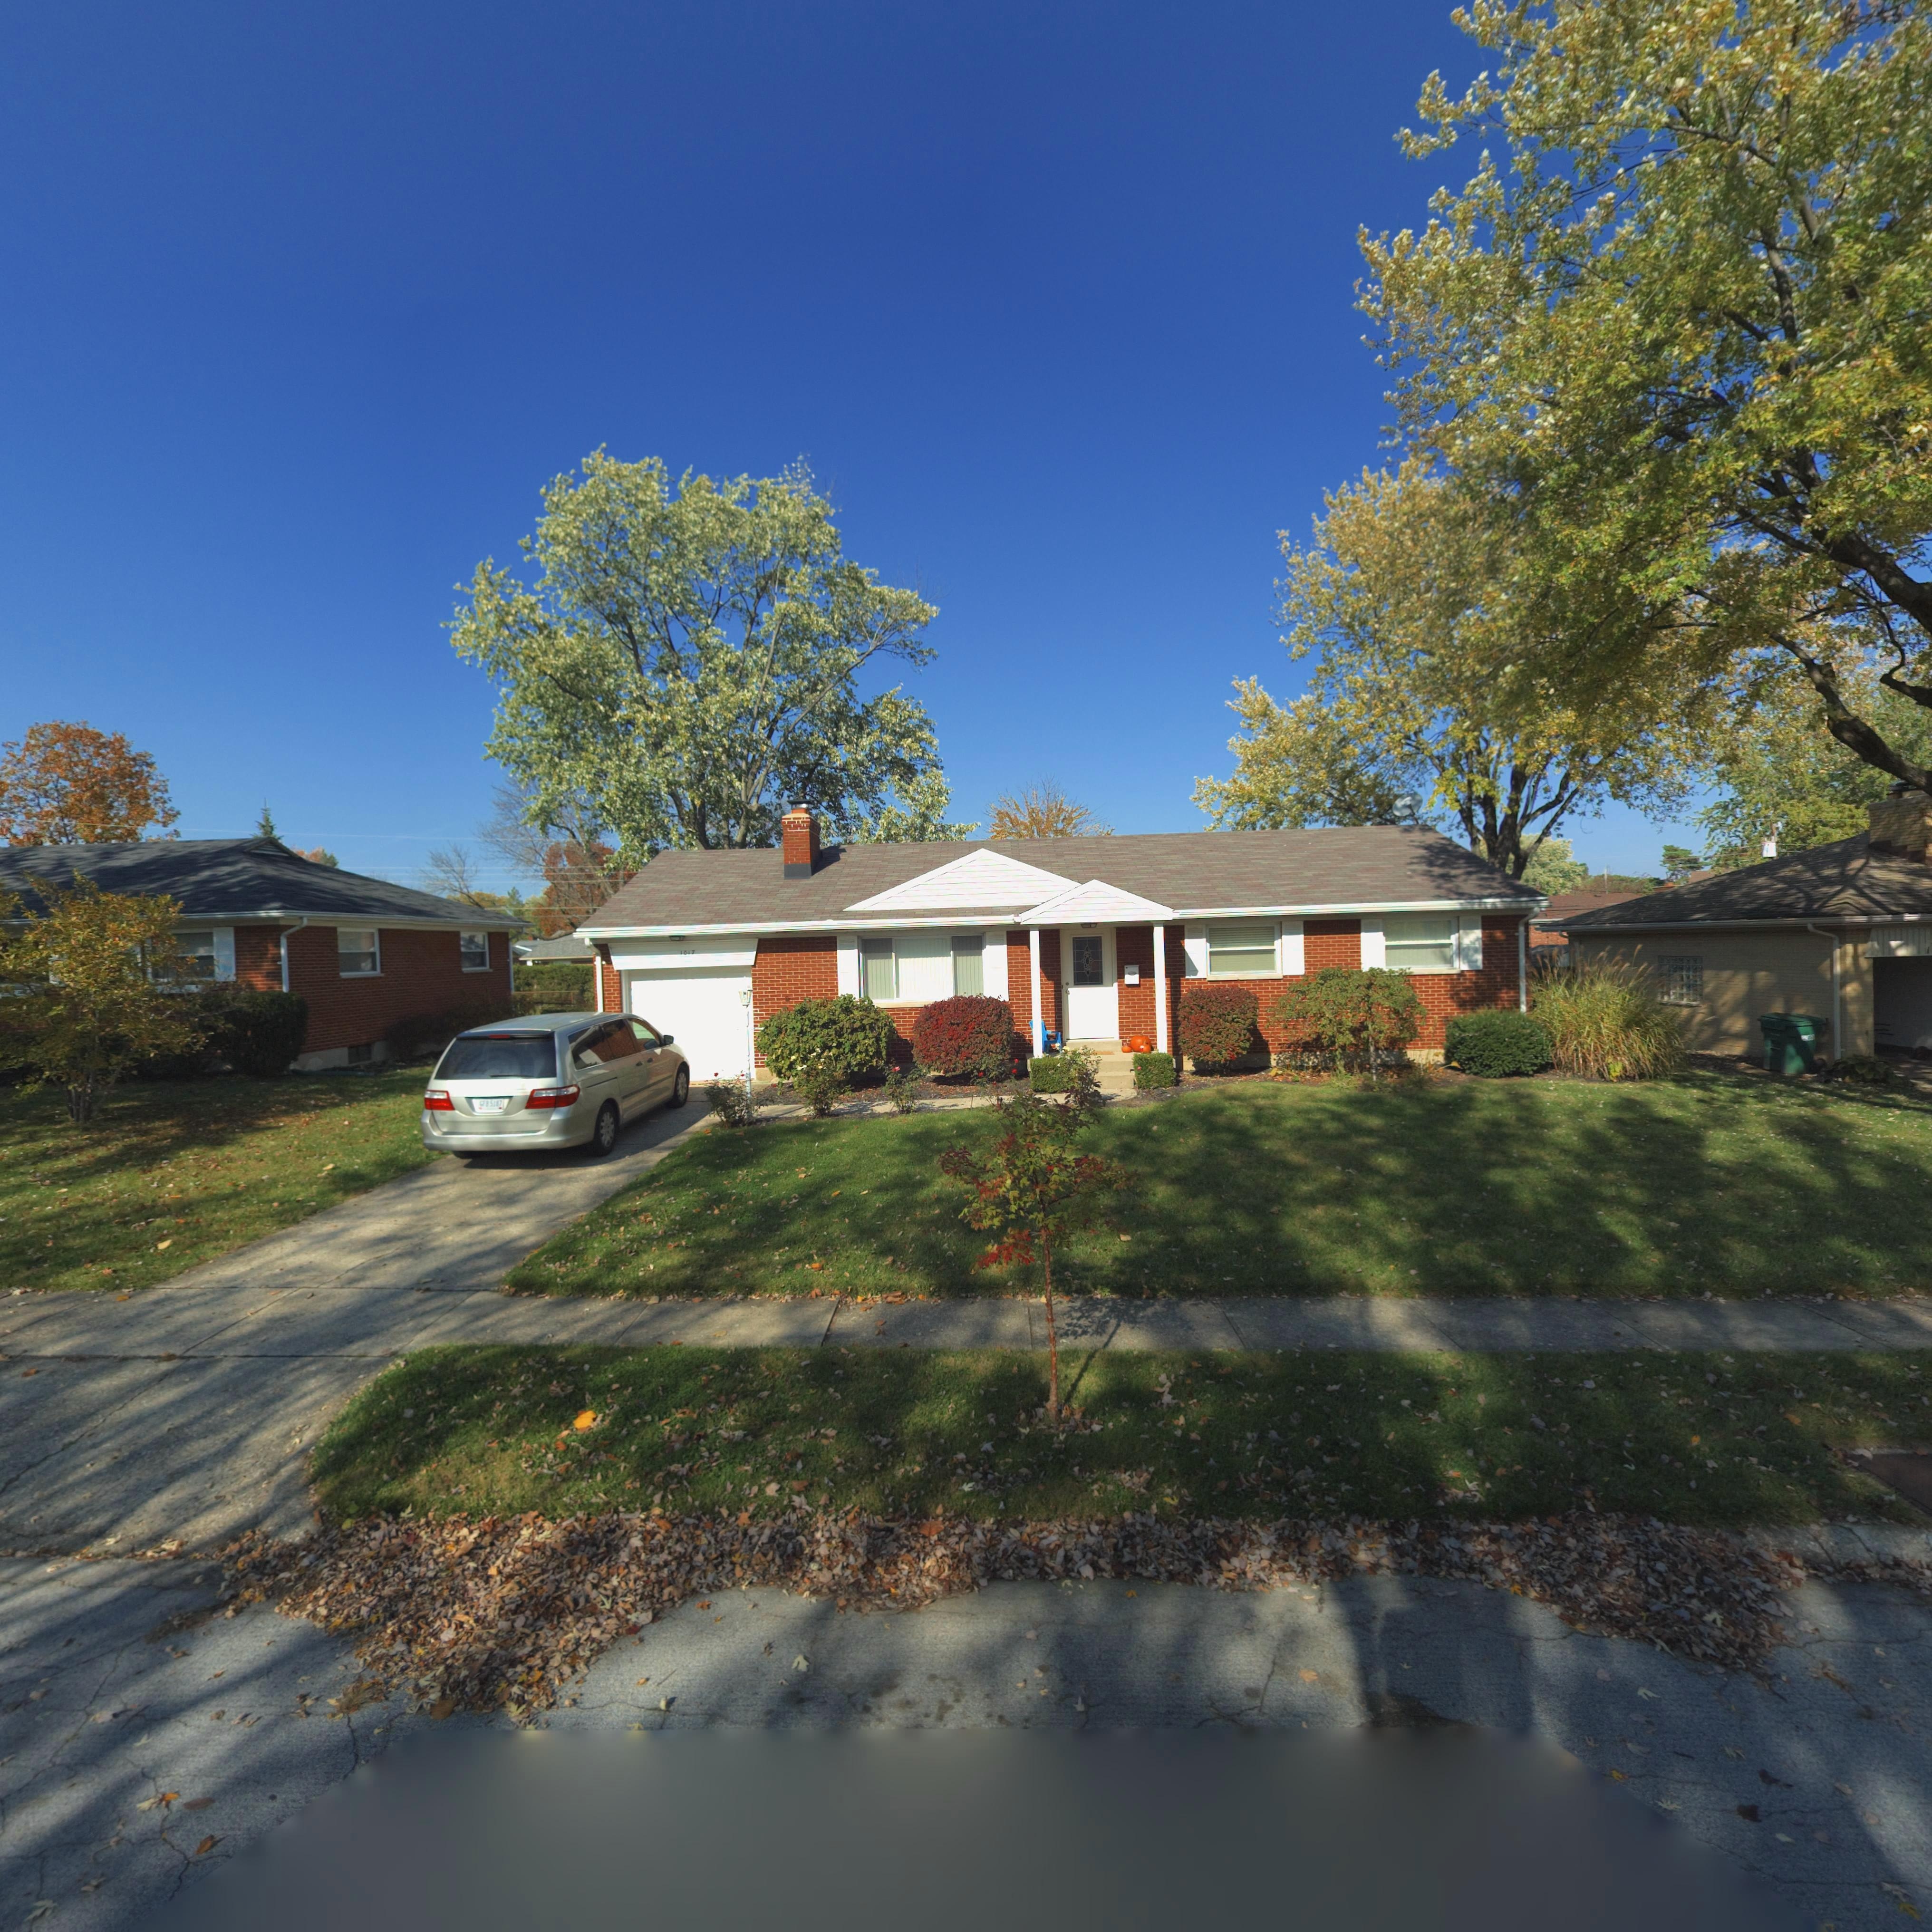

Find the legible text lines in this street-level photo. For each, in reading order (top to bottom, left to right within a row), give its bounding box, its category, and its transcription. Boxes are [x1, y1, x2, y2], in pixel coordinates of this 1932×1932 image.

[680, 949, 696, 956] StreetNumber: 1017